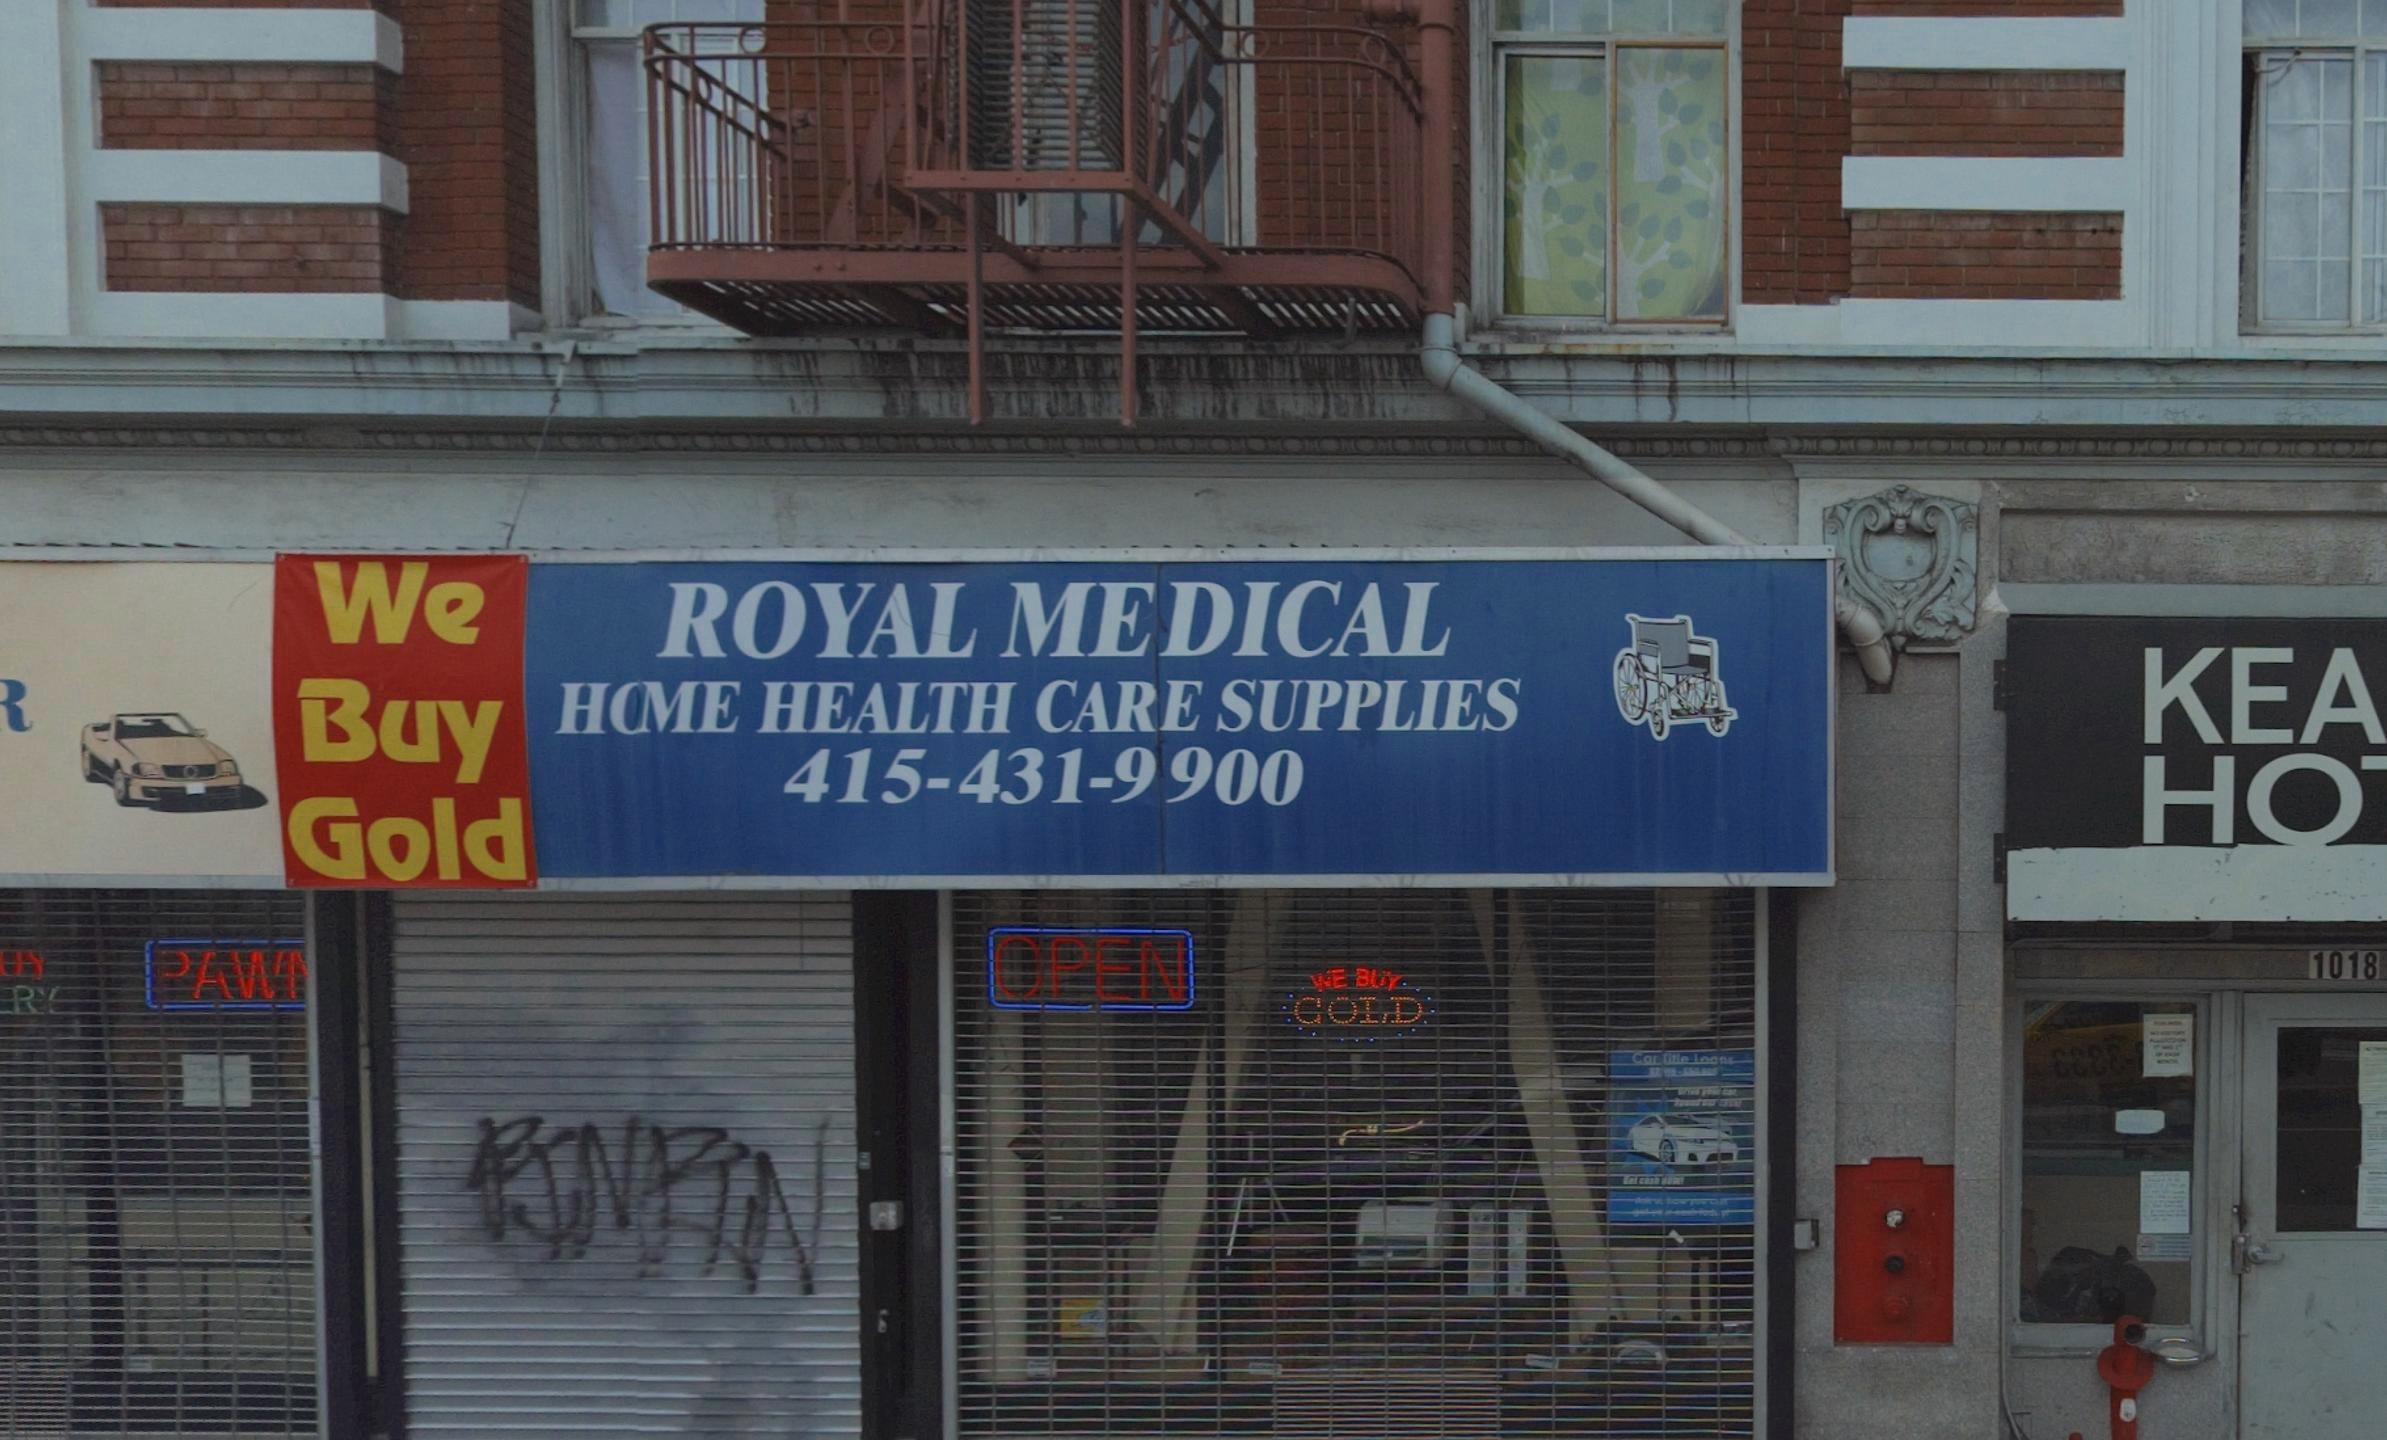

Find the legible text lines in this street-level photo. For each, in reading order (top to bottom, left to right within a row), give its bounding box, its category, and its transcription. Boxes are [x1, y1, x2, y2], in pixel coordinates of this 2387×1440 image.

[306, 556, 491, 651] None: We
[650, 577, 1462, 662] BusinessName: ROYAL MEDICAL
[297, 674, 510, 790] None: Buy
[544, 669, 1529, 745] None: H**E HEALTH CARE SUPPLIES
[2141, 644, 2387, 747] BusinessName: KEA
[776, 743, 1311, 812] None: 415-431-9900
[2140, 750, 2367, 848] BusinessName: HO
[281, 791, 534, 886] None: Gold
[11, 982, 41, 1018] None: R
[991, 932, 1189, 1006] None: OPEN
[1301, 963, 1409, 996] None: WE BUY
[1290, 991, 1425, 1028] None: GOLD
[2309, 947, 2381, 982] StreetNumber: 1018
[1629, 1049, 1661, 1067] None: Car
[734, 1140, 834, 1303] None: N